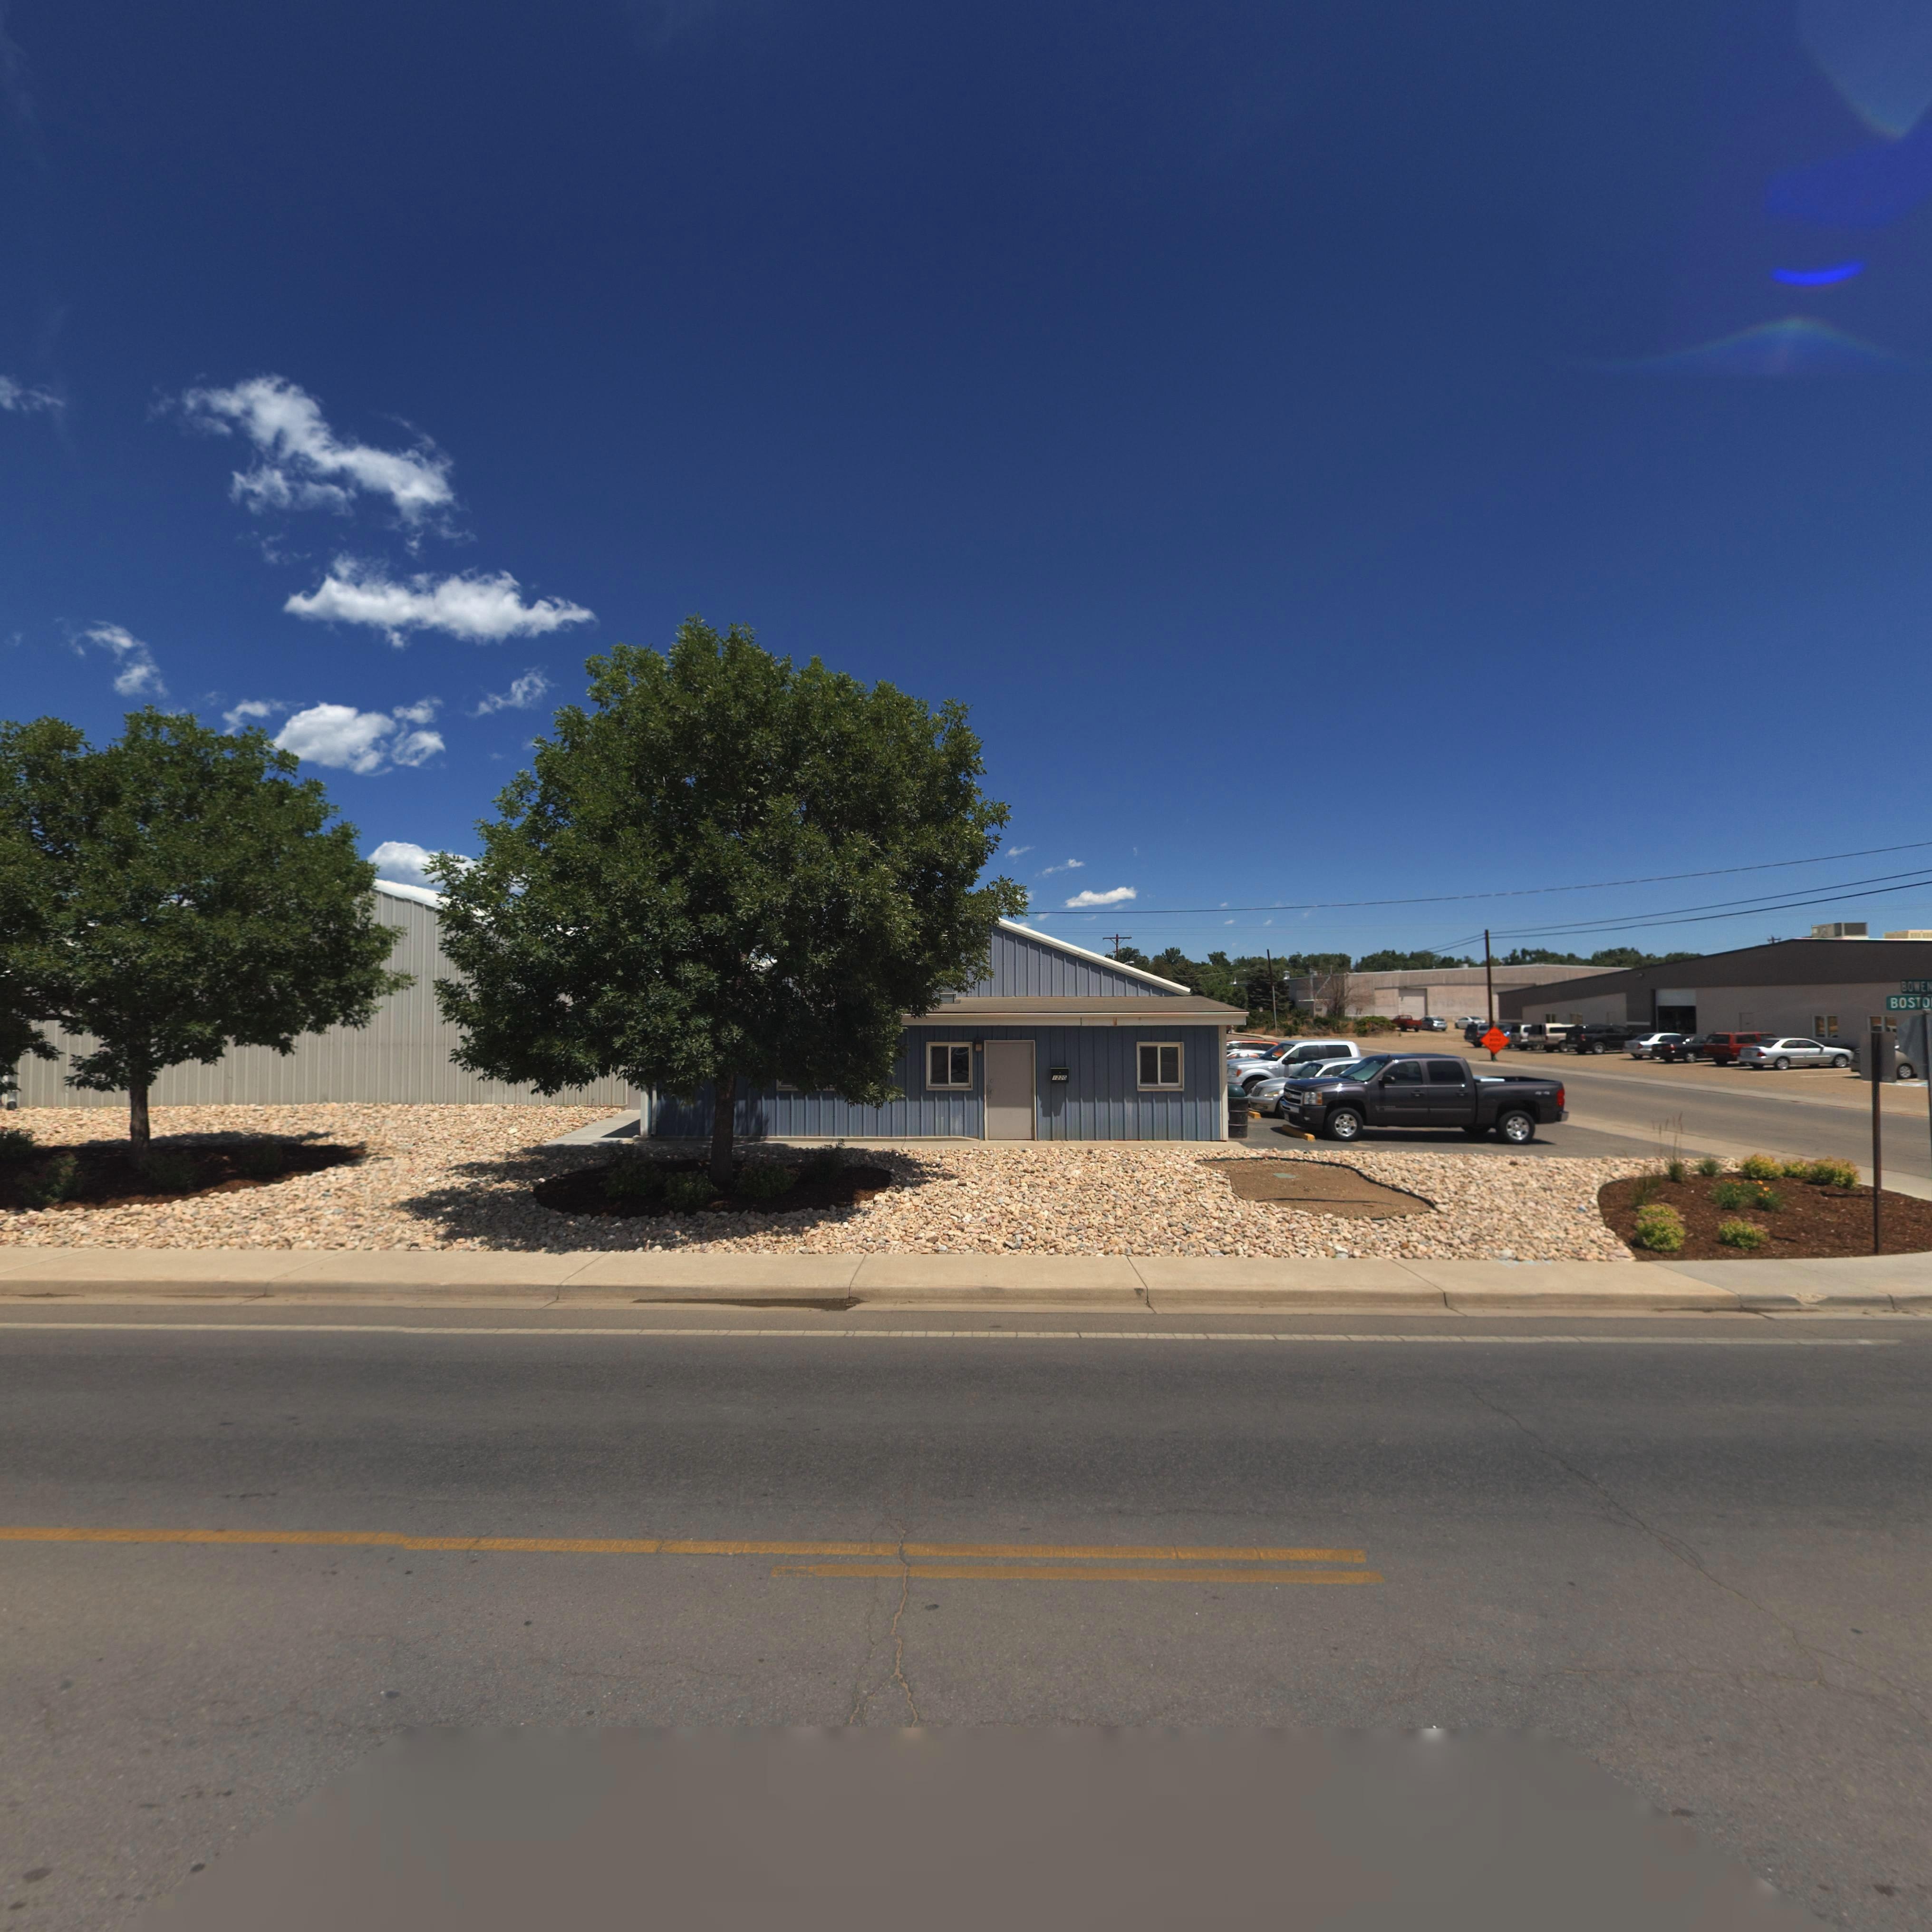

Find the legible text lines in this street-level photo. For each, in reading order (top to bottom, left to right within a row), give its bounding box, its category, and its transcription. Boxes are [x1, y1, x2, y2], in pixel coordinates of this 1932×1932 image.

[1900, 981, 1926, 992] StreetName: BOWE
[1889, 996, 1930, 1008] StreetName: BOSTO
[1053, 1075, 1067, 1080] StreetNumber: 1220